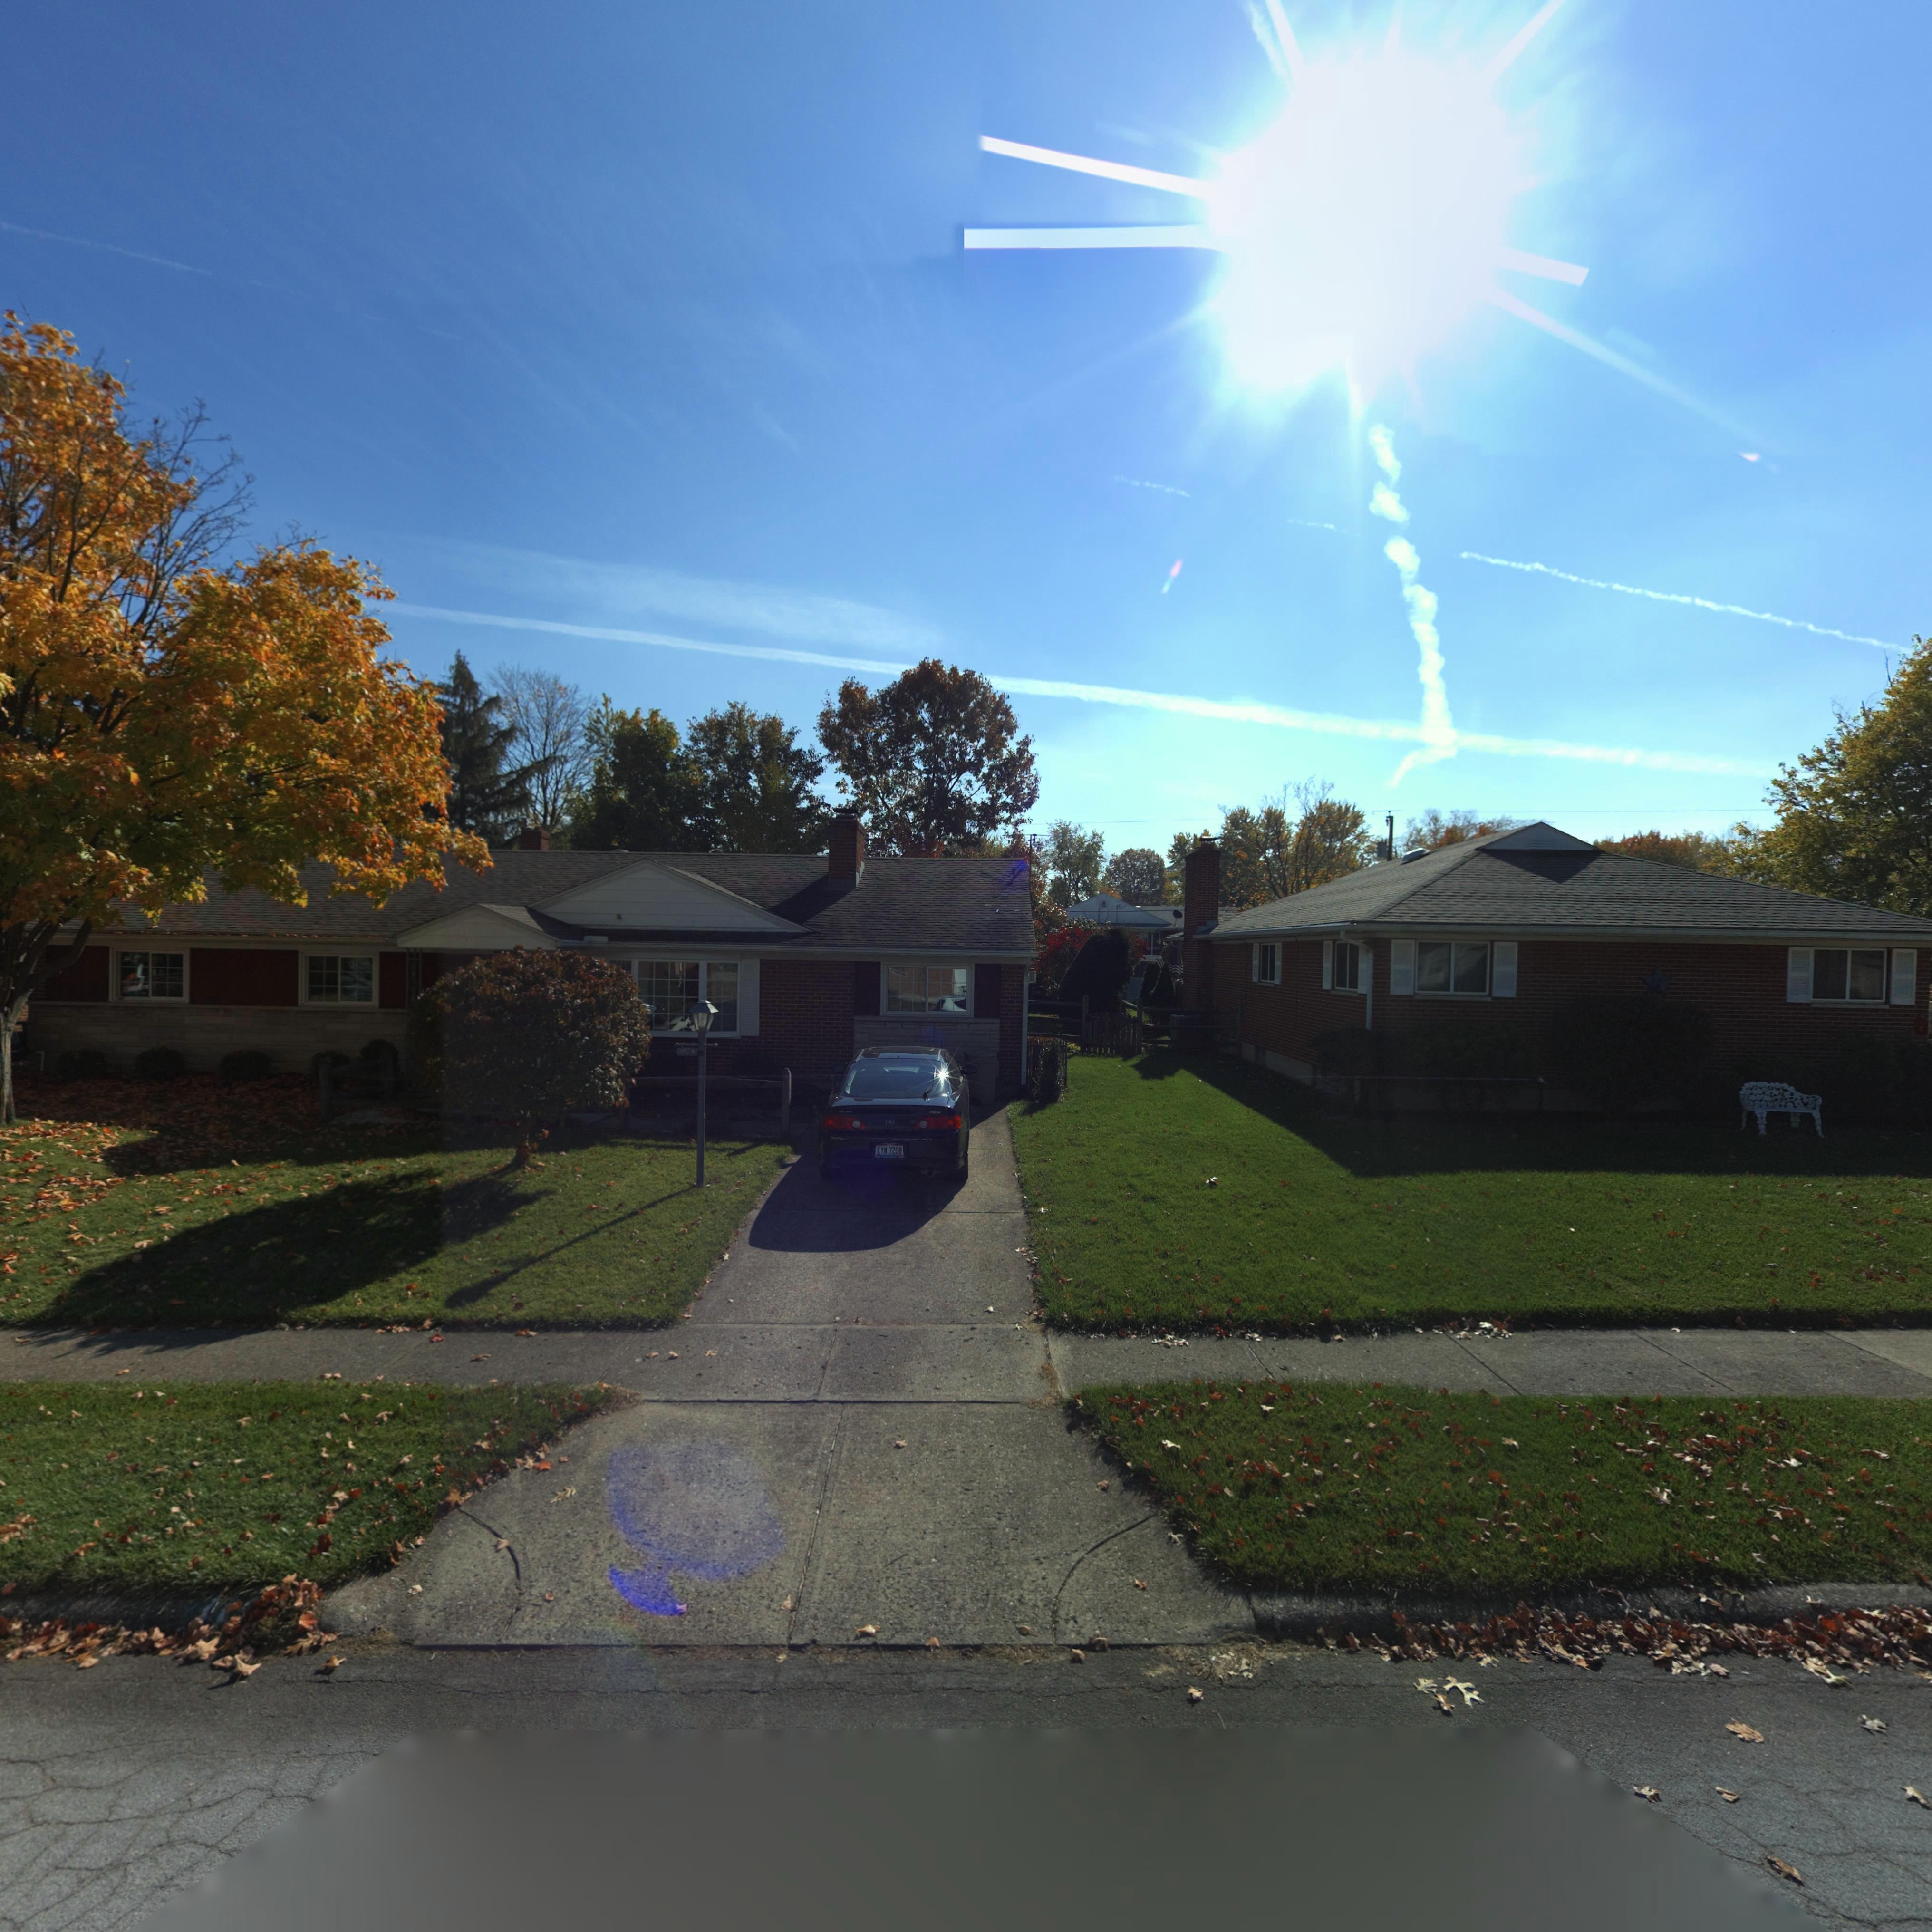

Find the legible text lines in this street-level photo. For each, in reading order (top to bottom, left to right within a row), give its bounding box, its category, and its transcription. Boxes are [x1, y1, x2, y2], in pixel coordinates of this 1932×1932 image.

[680, 1048, 694, 1056] StreetNumber: 1124
[838, 1110, 852, 1114] None: ACURA
[929, 1110, 941, 1114] None: RSX
[877, 1146, 902, 1155] None: EYN 7208